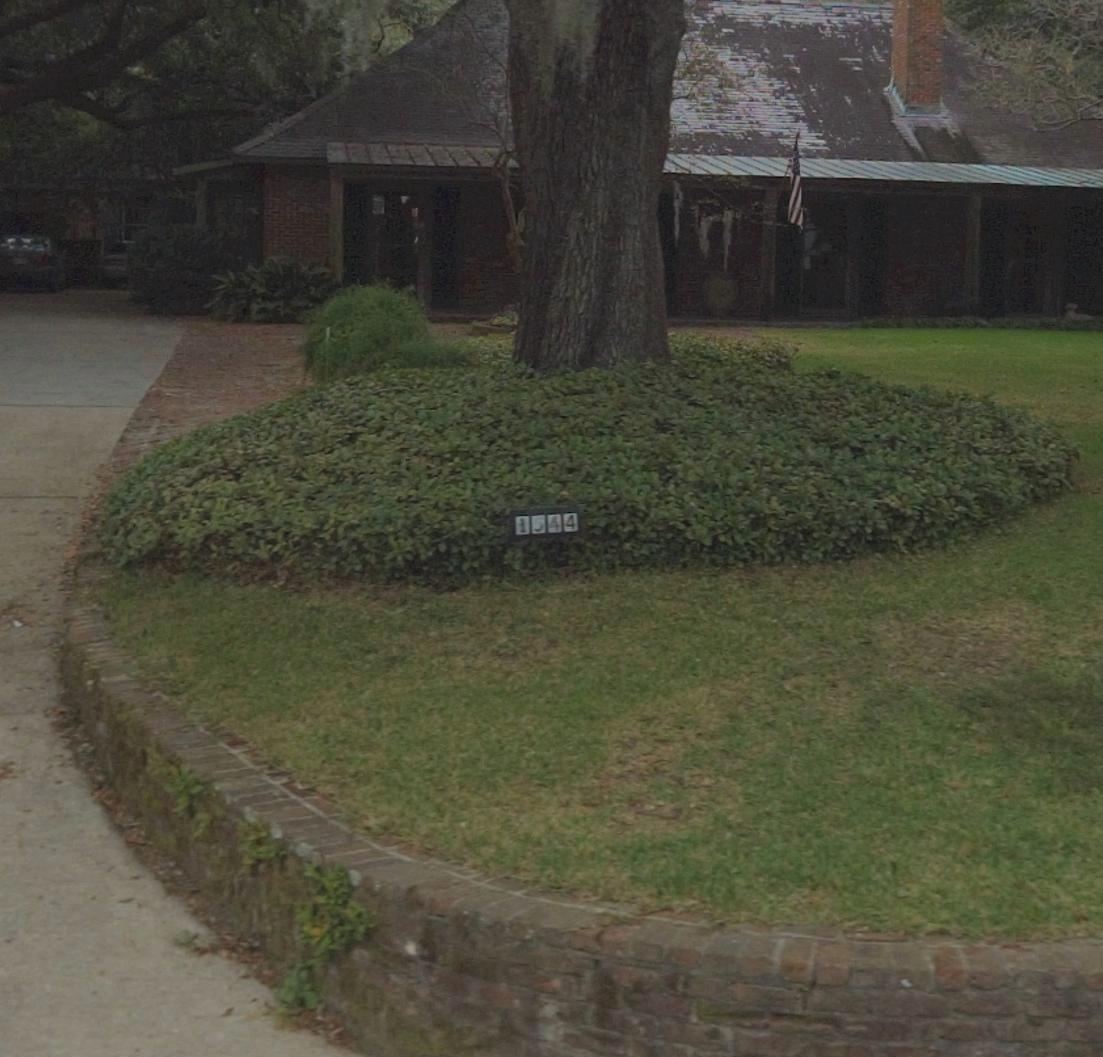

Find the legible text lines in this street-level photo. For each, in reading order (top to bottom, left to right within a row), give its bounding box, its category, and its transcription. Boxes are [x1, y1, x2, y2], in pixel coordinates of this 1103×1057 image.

[518, 514, 577, 534] StreetNumber: 1544